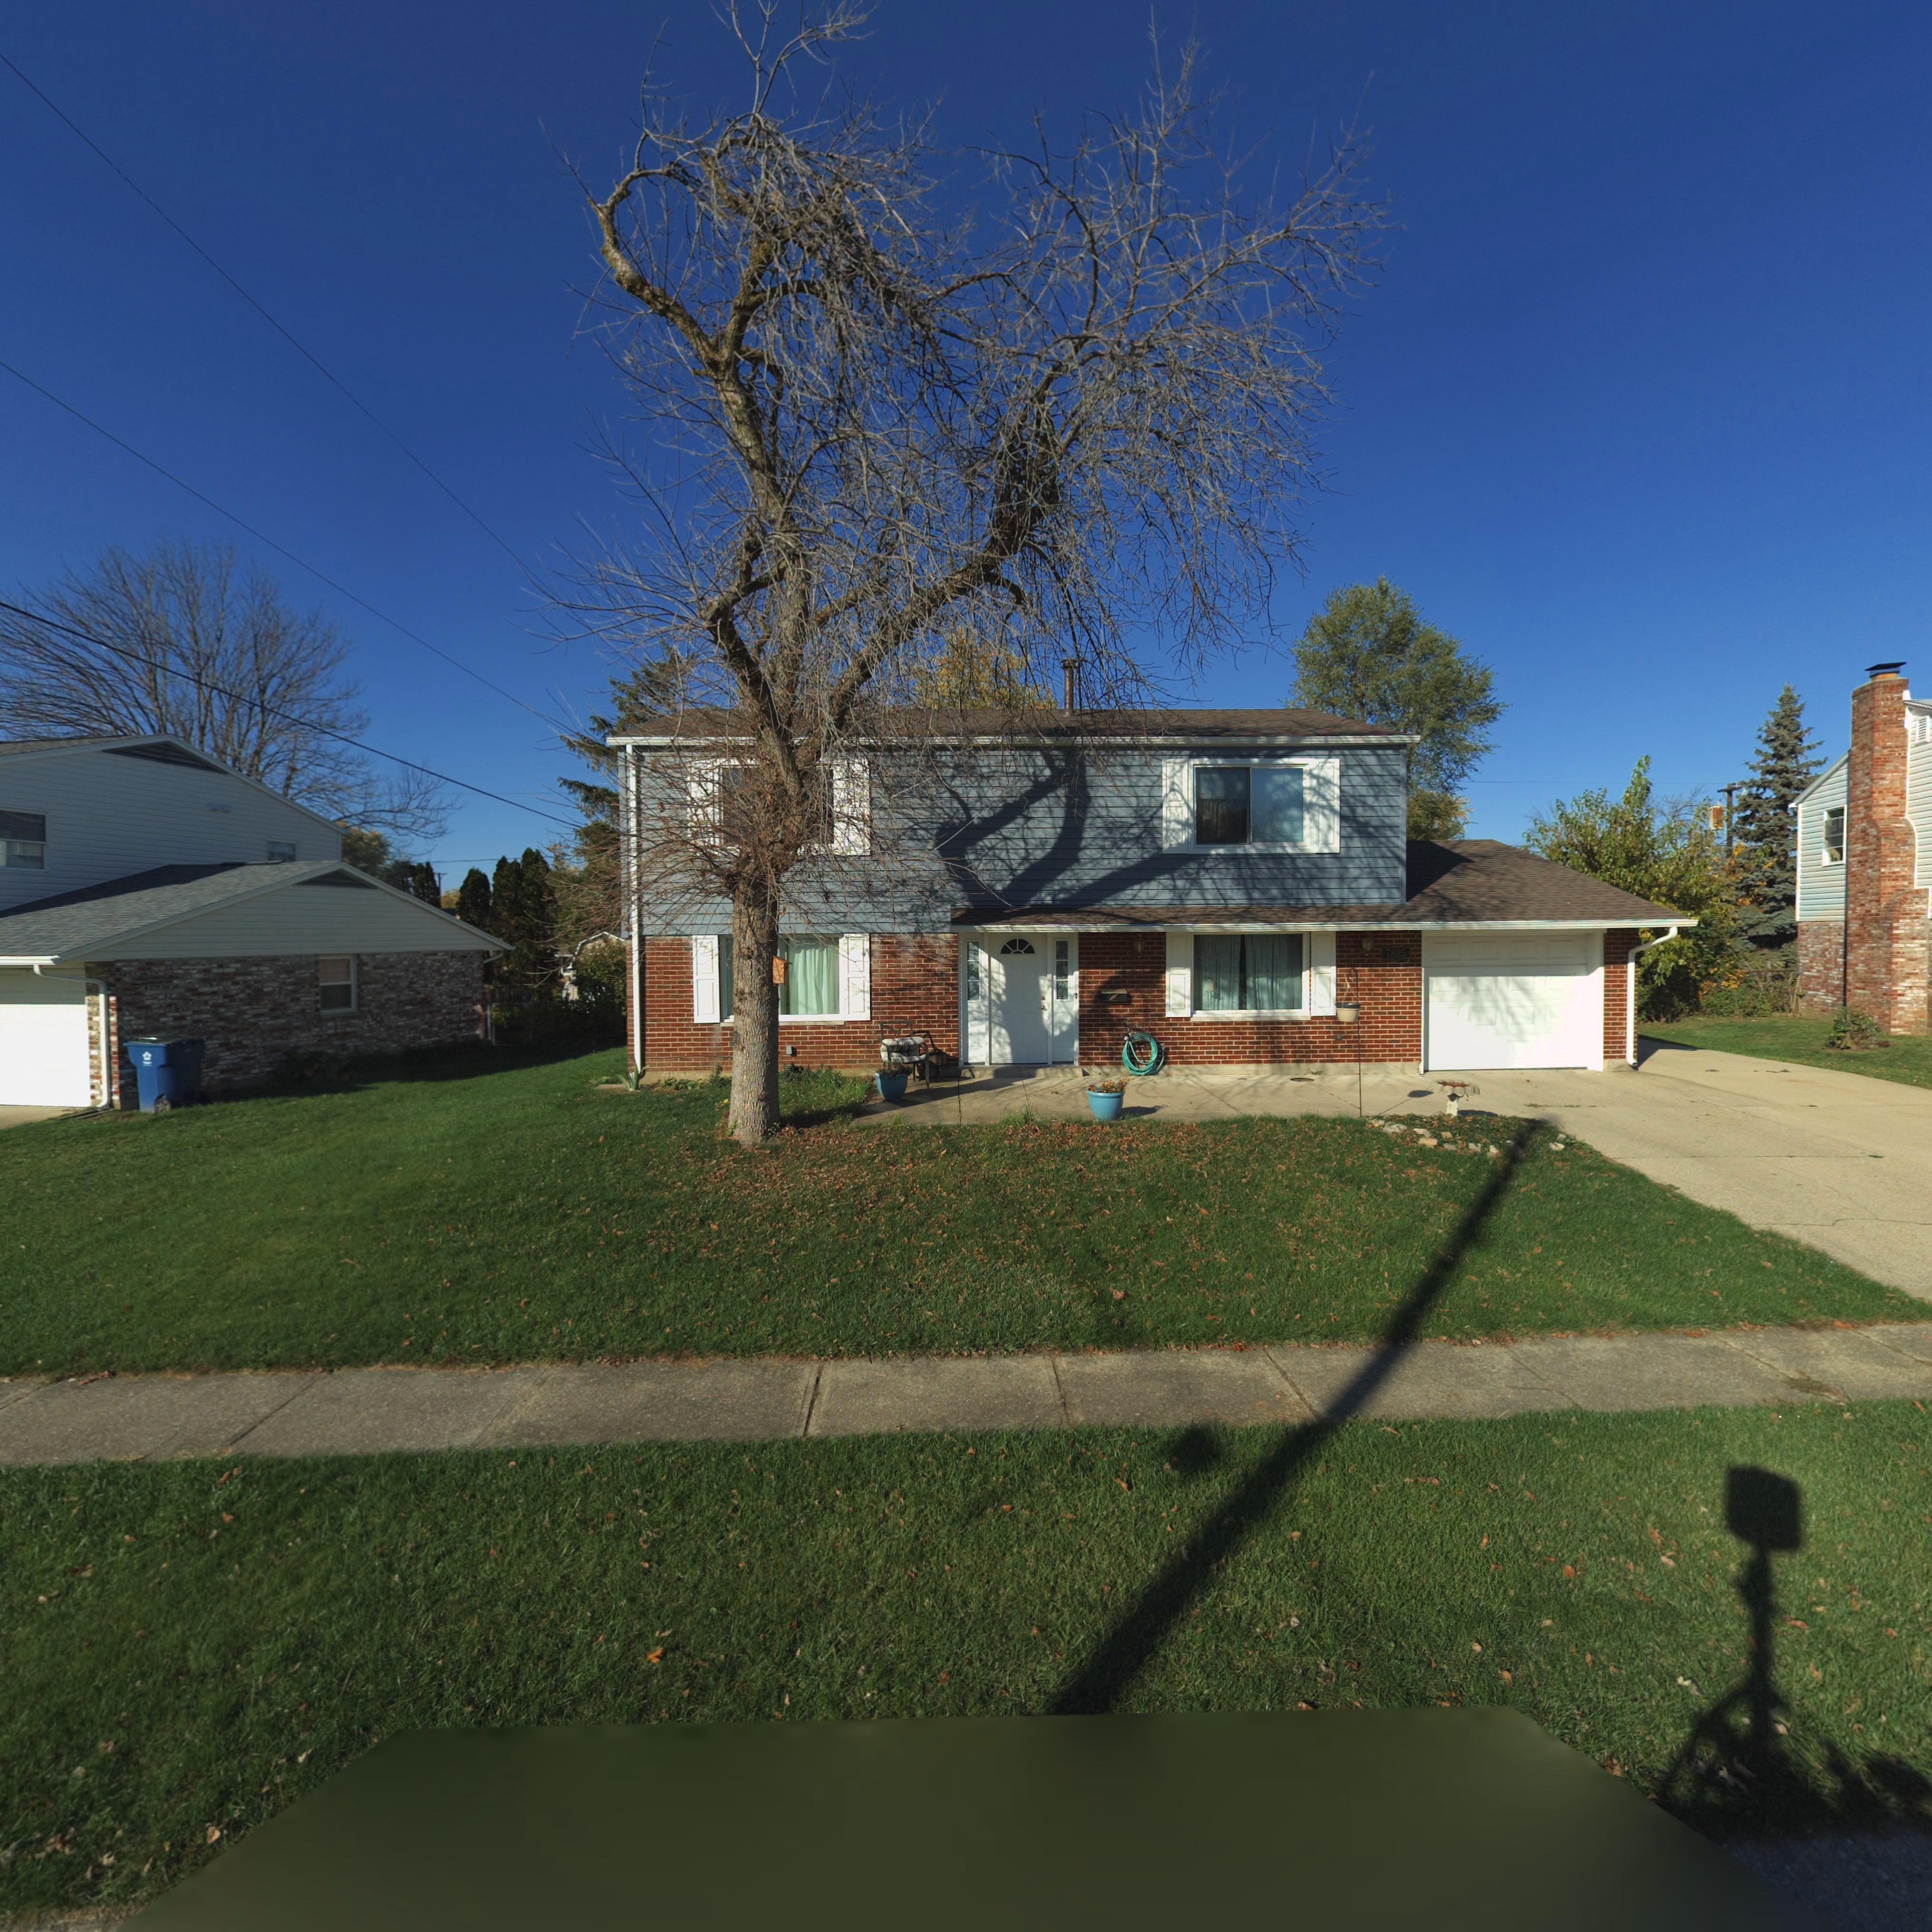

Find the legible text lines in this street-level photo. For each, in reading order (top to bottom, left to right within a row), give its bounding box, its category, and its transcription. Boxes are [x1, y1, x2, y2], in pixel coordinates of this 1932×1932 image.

[1385, 948, 1406, 958] StreetNumber: 7805